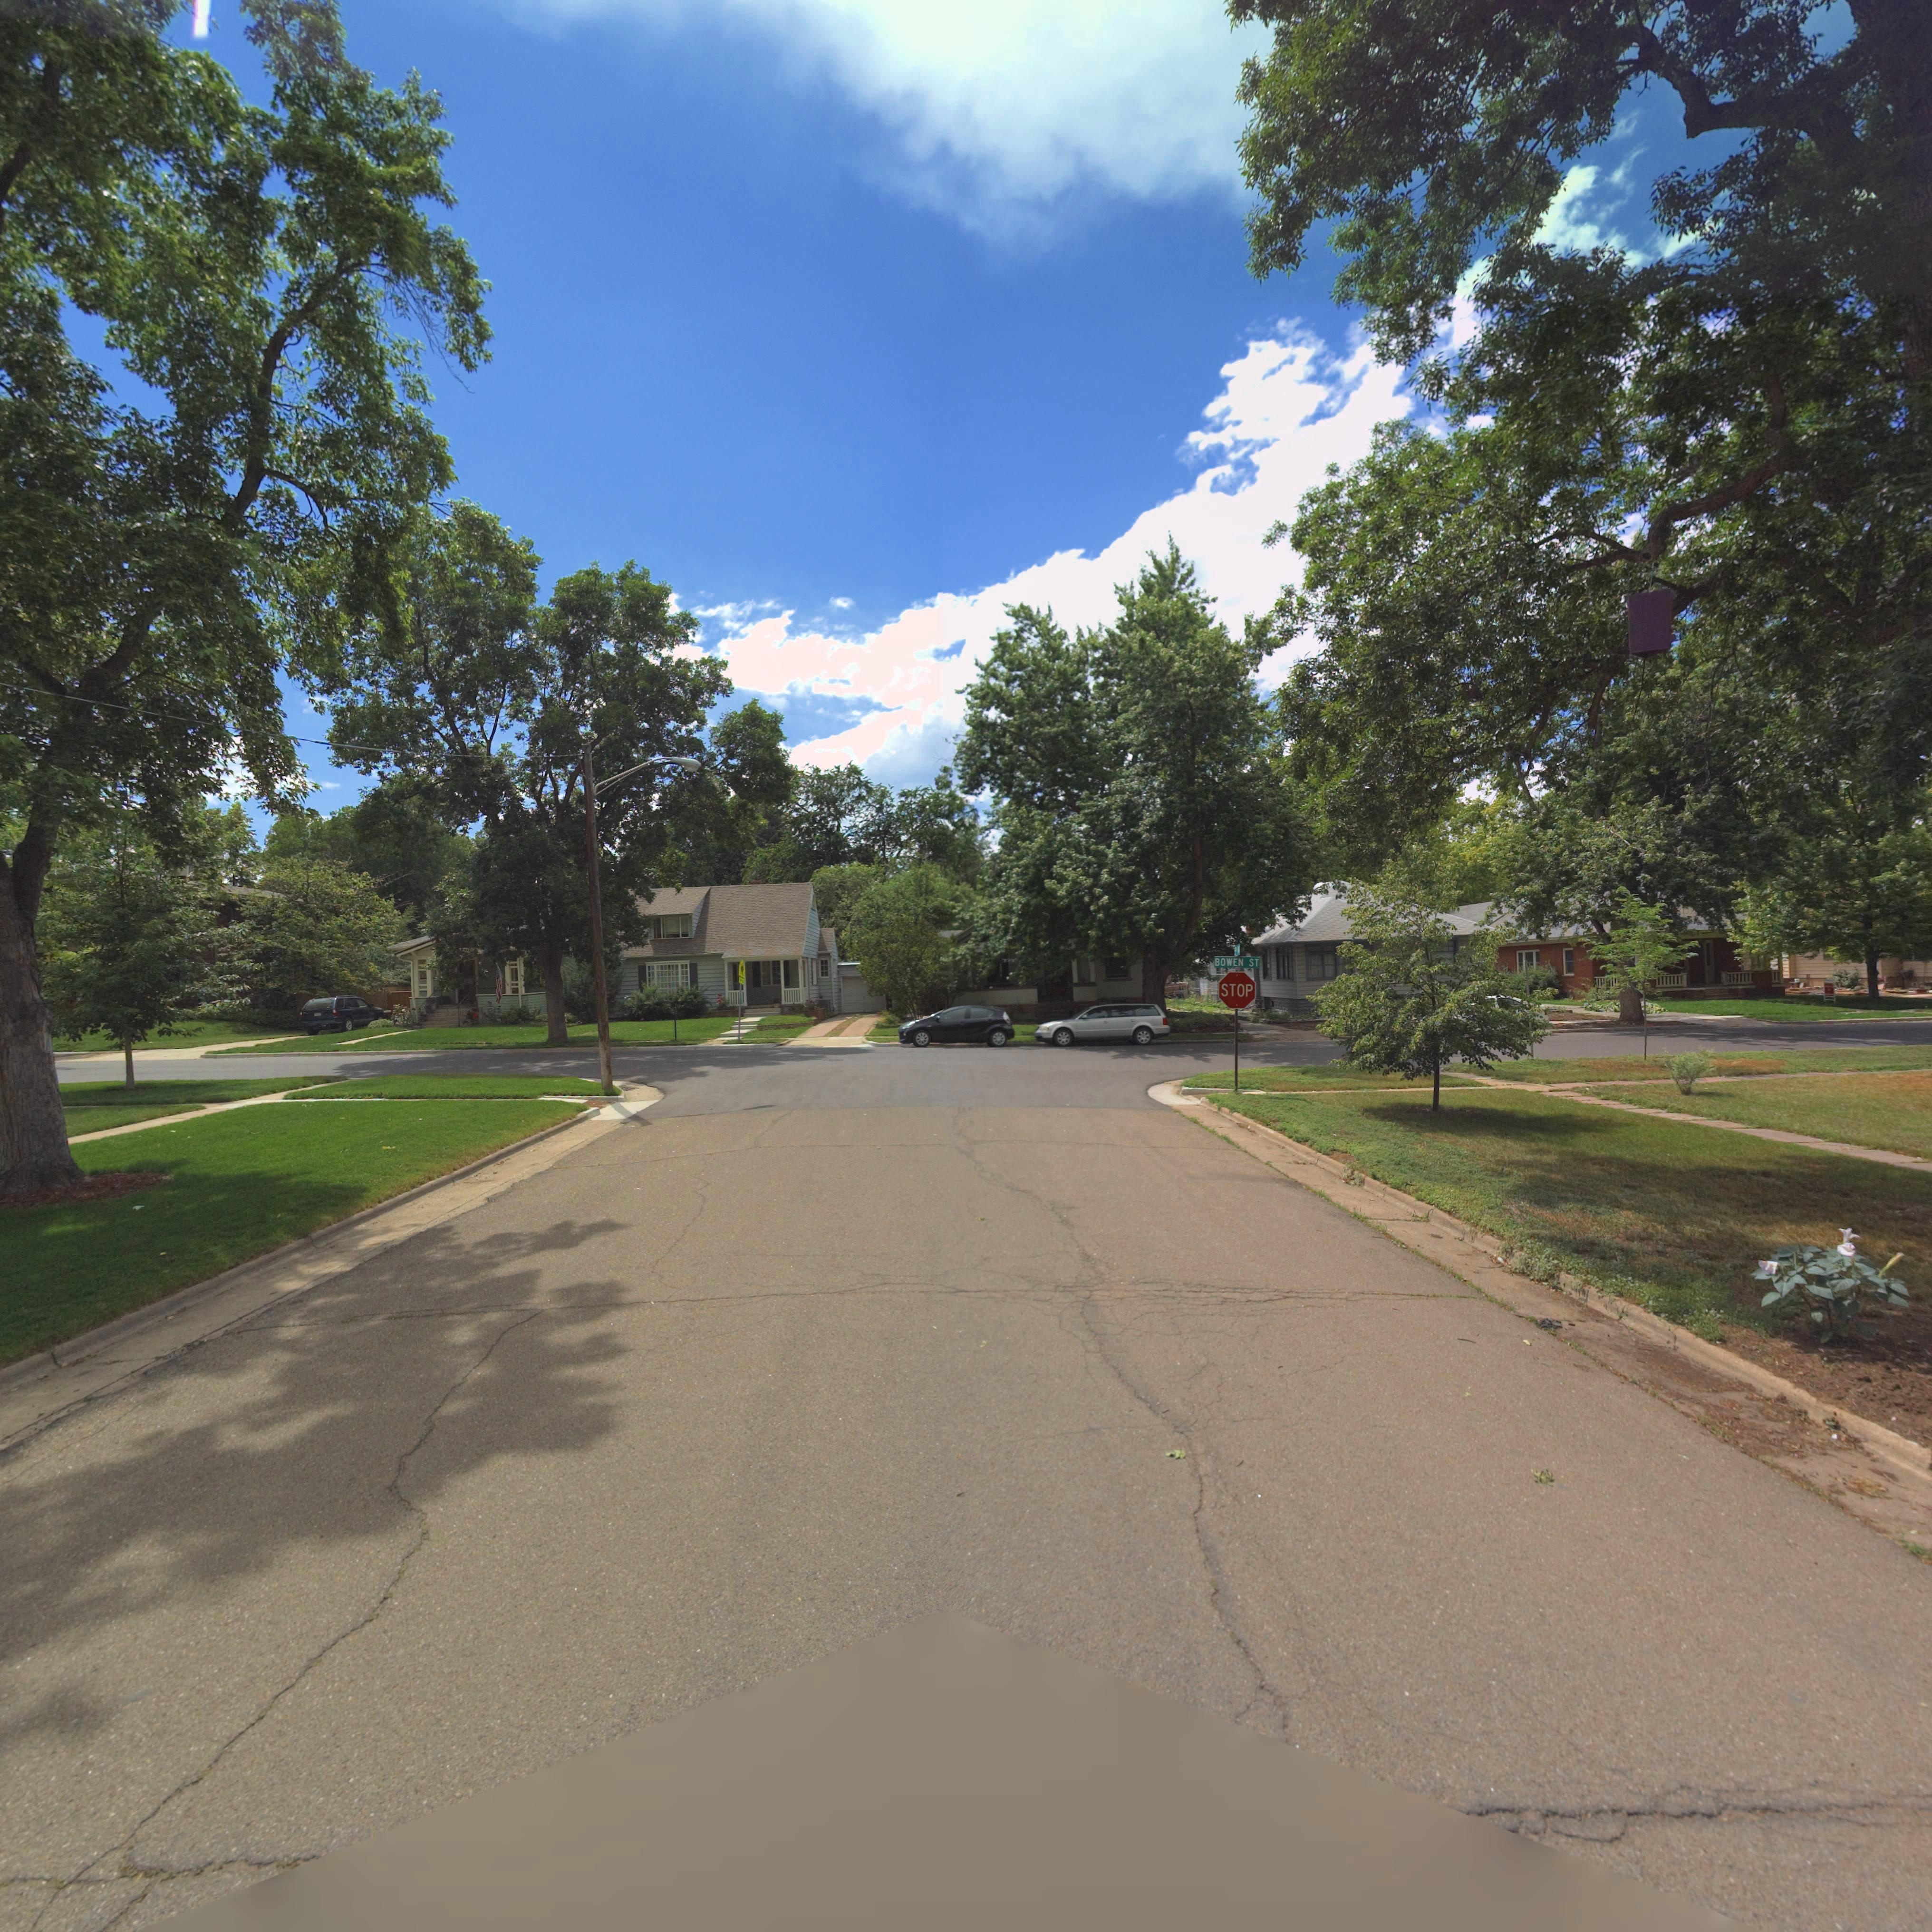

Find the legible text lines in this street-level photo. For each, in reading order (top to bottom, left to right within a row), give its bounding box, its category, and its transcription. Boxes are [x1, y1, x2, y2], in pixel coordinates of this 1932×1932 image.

[1214, 957, 1259, 967] StreetName: BOWEN ST